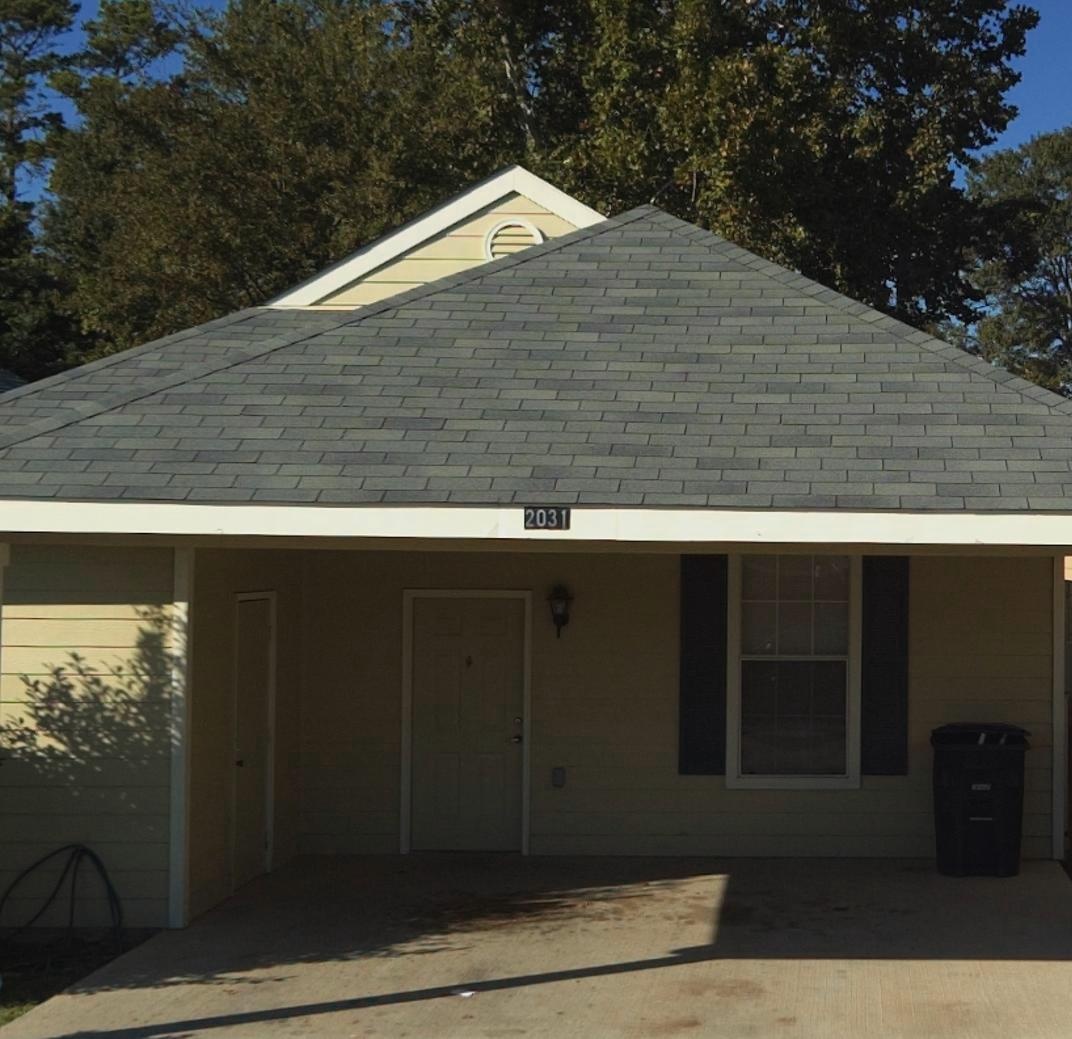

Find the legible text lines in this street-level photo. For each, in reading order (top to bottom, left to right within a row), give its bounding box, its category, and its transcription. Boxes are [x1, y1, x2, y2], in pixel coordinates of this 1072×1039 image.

[525, 508, 568, 529] StreetNumber: 2031